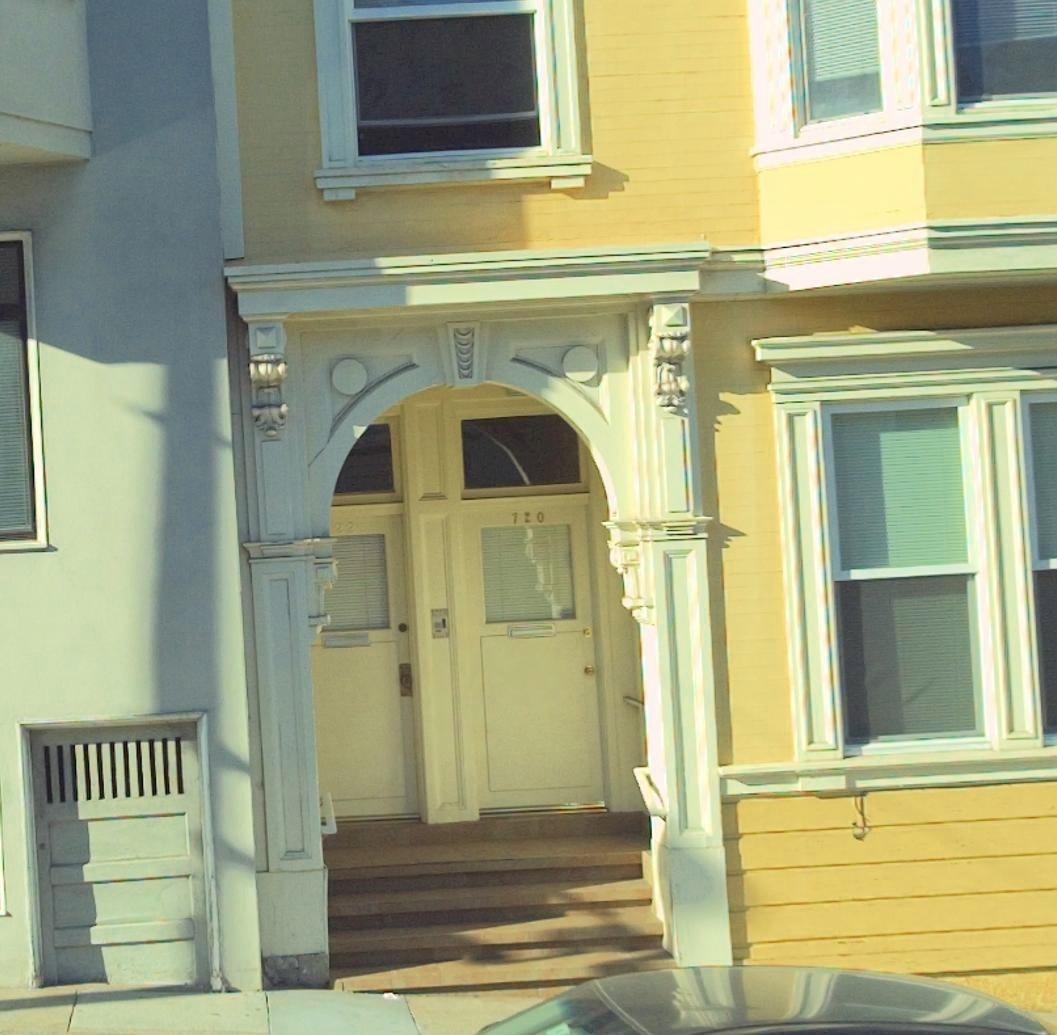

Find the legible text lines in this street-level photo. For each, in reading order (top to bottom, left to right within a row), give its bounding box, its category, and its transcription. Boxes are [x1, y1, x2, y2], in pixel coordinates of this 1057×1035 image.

[510, 509, 545, 526] StreetNumber: 720
[330, 520, 356, 535] StreetNumber: 22